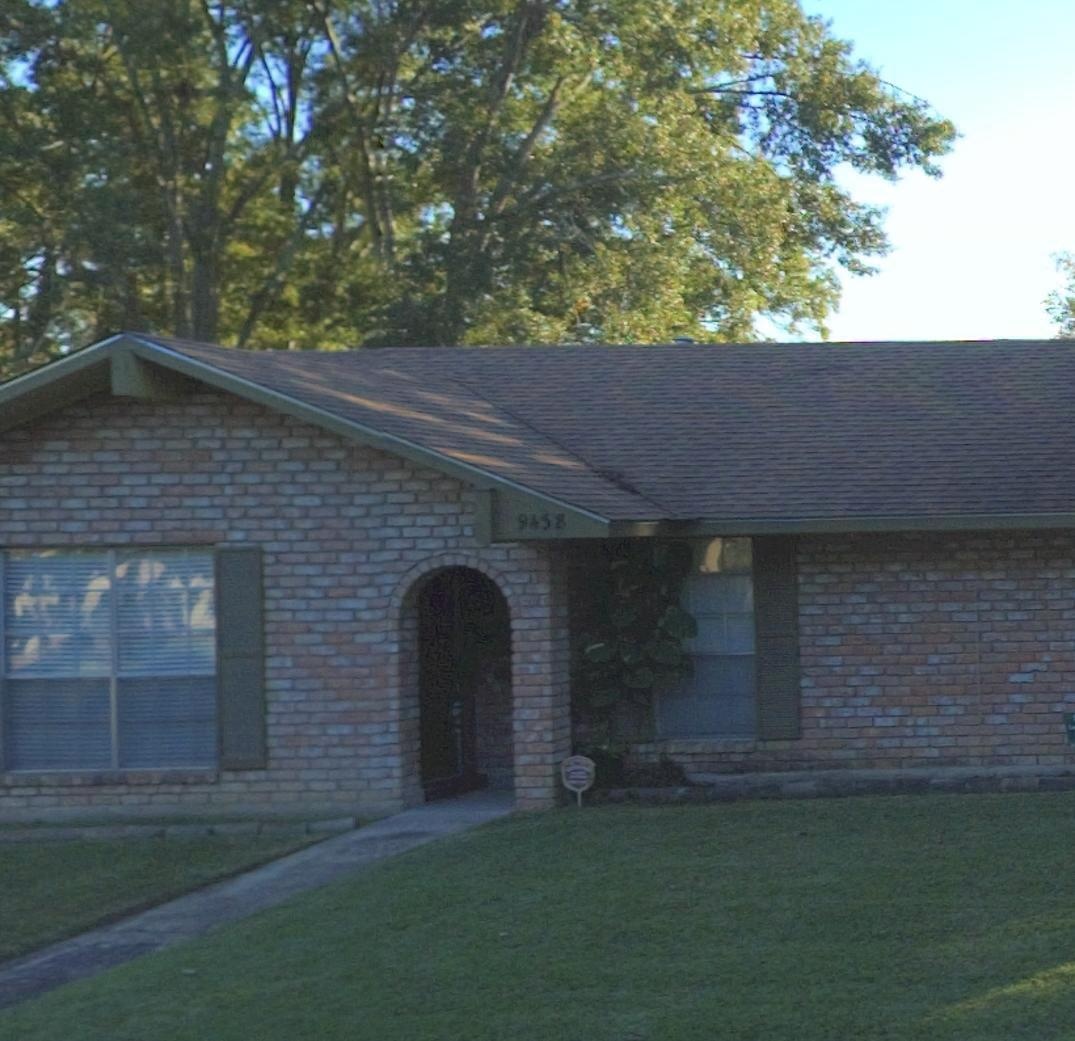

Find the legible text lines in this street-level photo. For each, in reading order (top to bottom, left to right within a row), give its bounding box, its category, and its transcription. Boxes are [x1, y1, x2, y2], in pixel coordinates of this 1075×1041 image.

[516, 512, 568, 531] StreetNumber: 9458